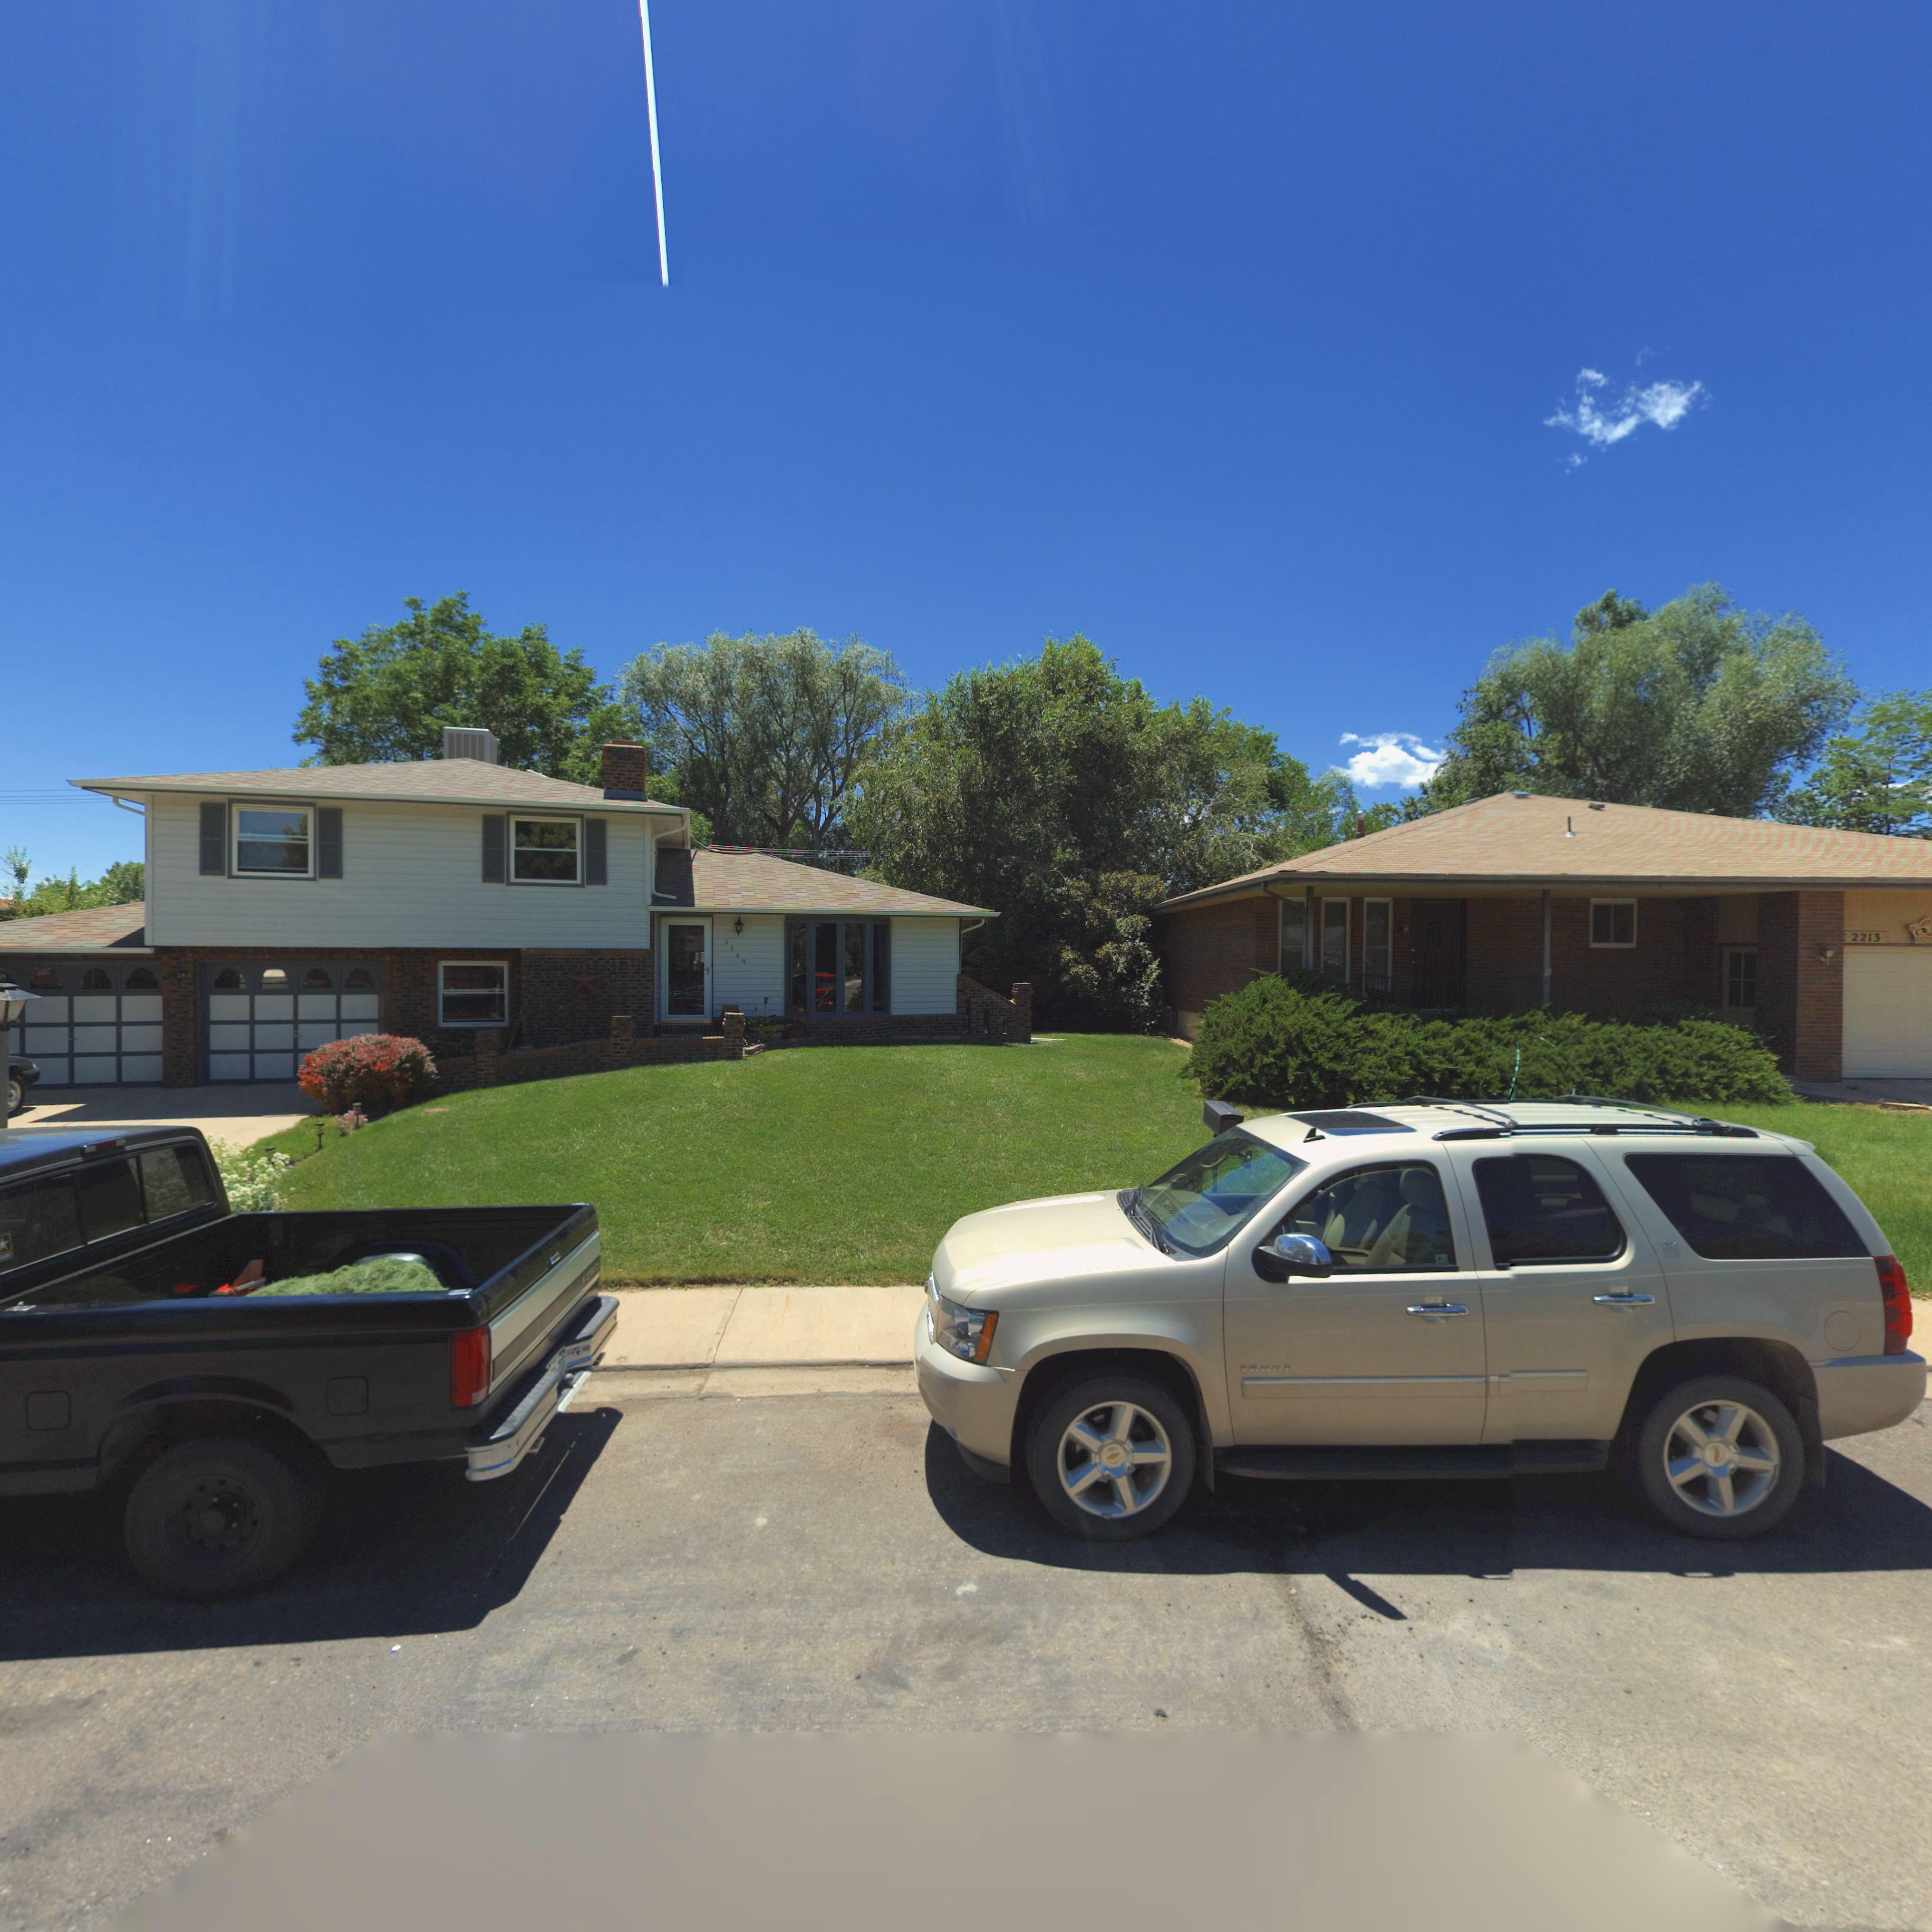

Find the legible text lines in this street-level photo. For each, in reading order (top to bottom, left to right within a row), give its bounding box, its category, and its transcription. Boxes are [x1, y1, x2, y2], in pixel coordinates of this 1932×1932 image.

[1851, 932, 1880, 942] StreetNumber: 2213
[724, 939, 746, 964] StreetNumber: 2209